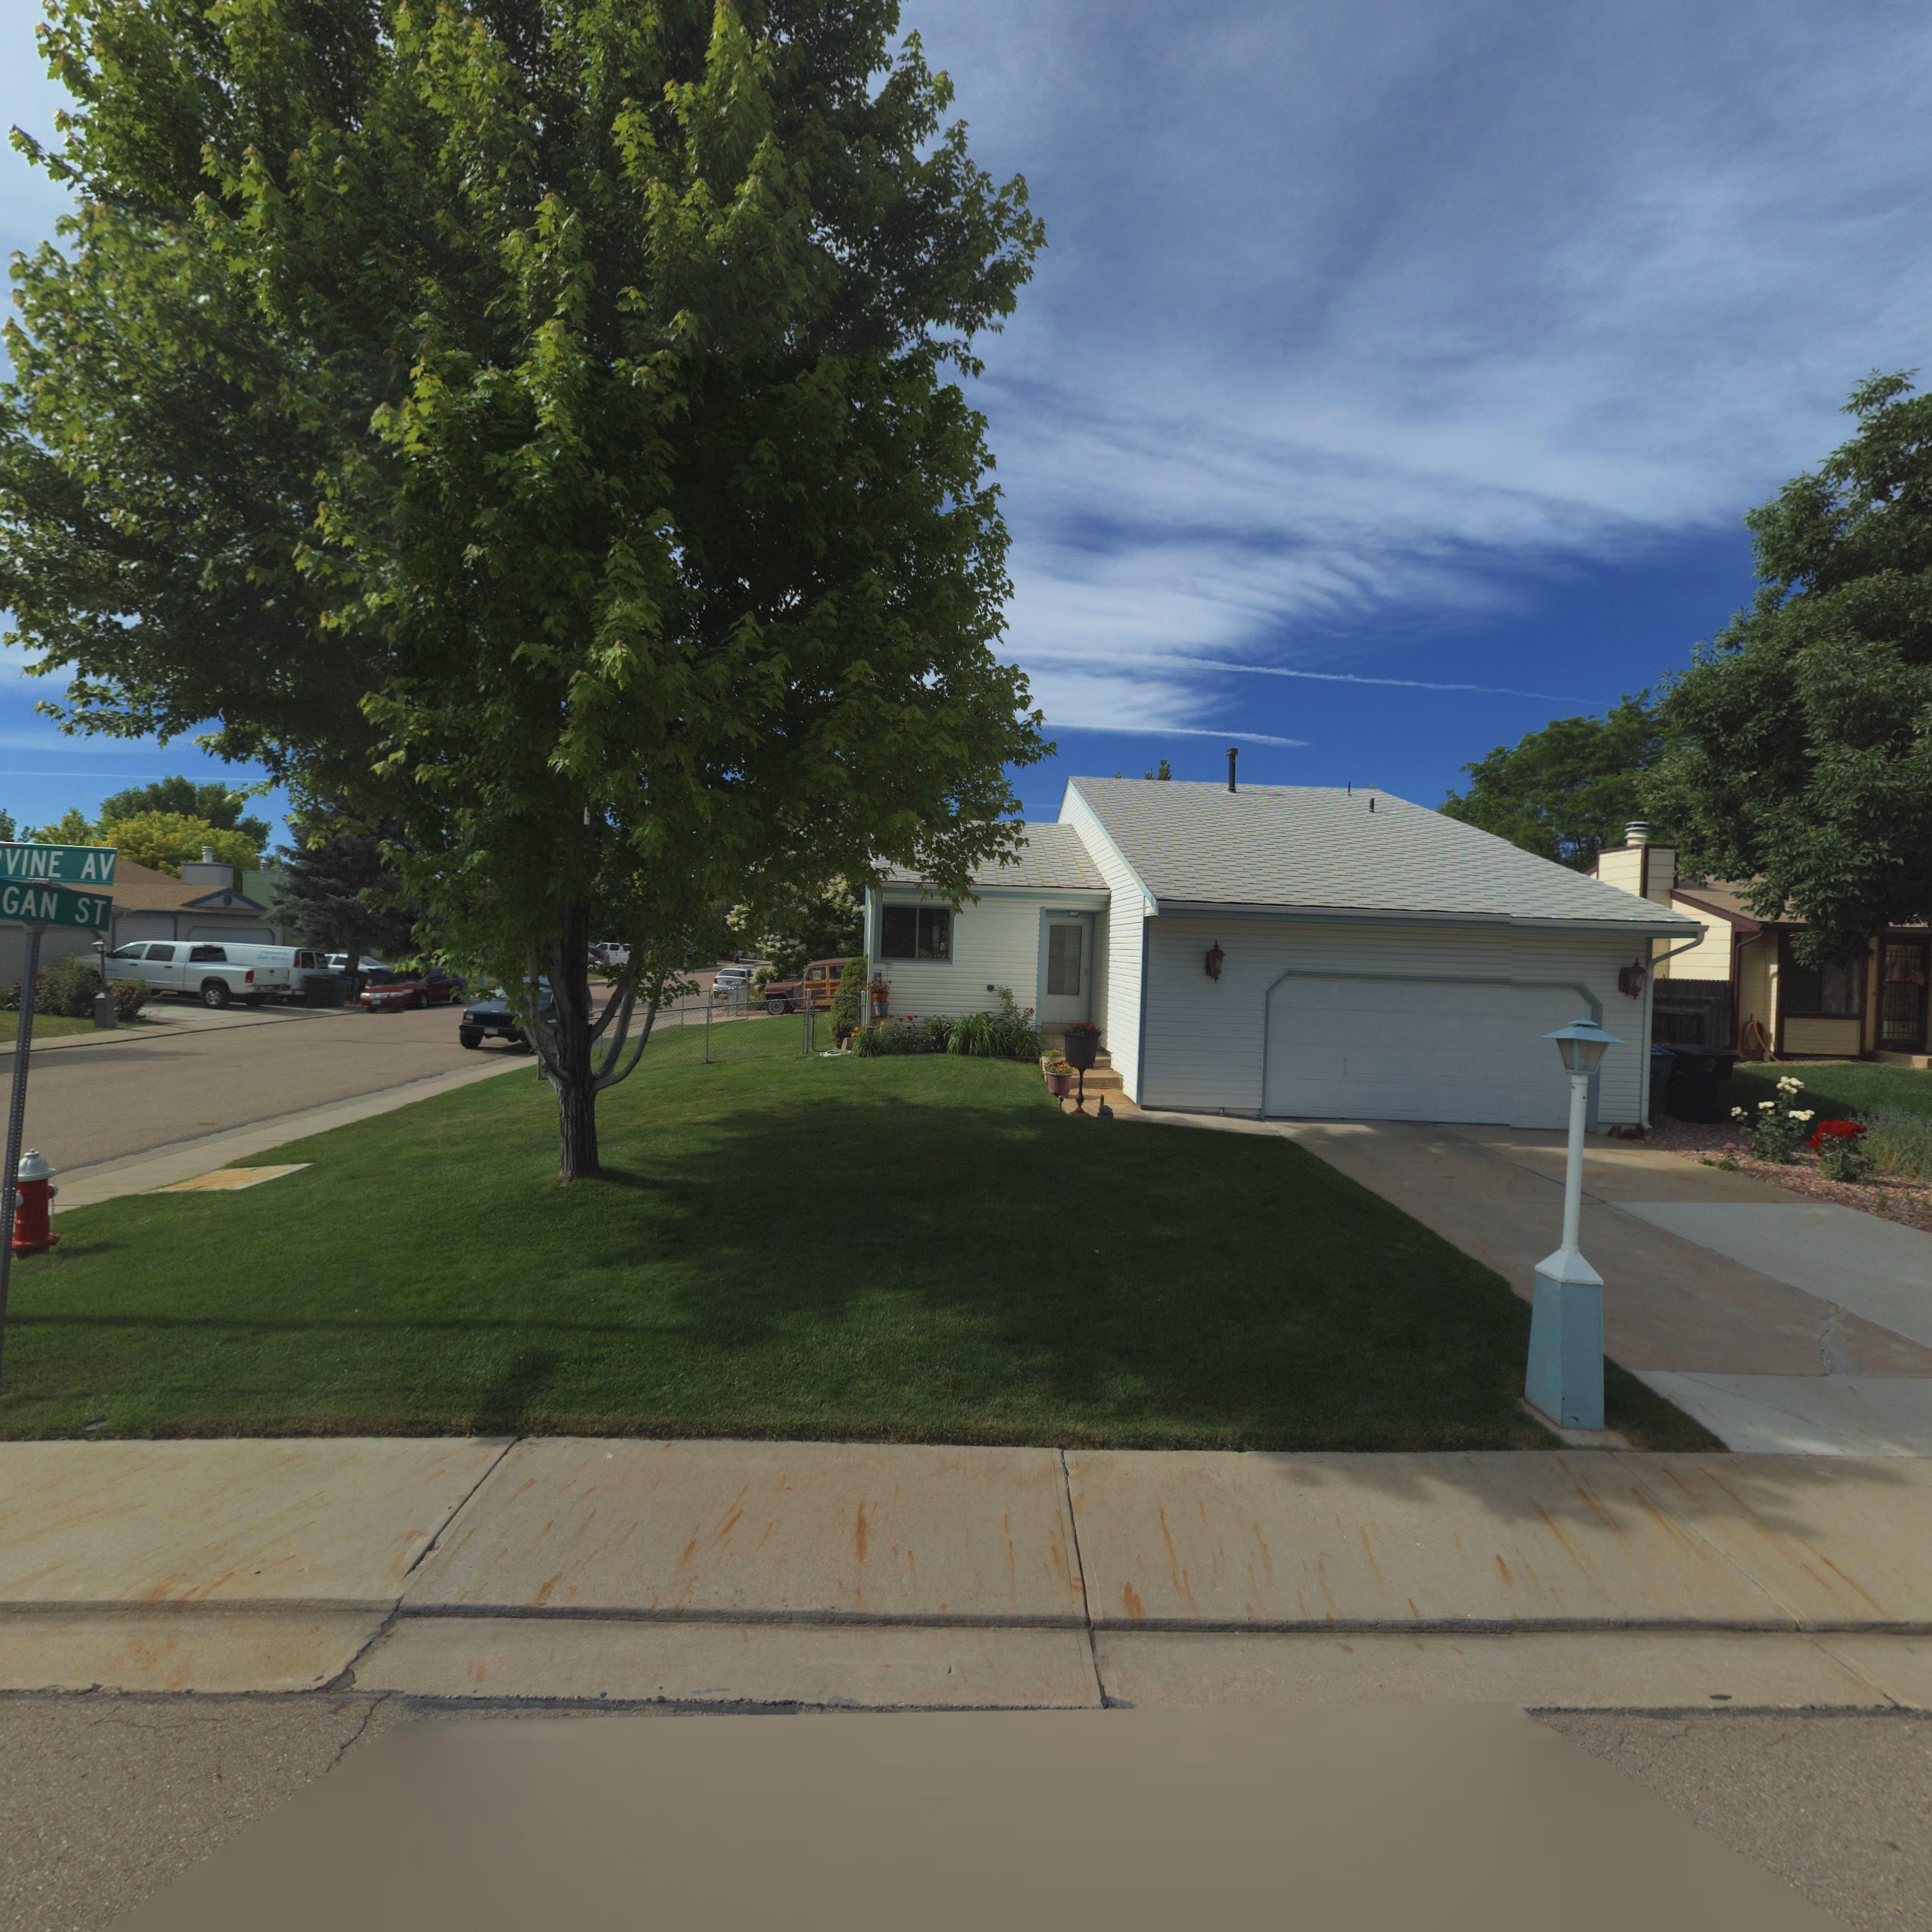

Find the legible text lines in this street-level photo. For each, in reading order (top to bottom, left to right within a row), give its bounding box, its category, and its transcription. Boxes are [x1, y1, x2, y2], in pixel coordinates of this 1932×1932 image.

[5, 848, 116, 880] StreetName: VINE AV
[2, 885, 106, 926] StreetName: GAN ST